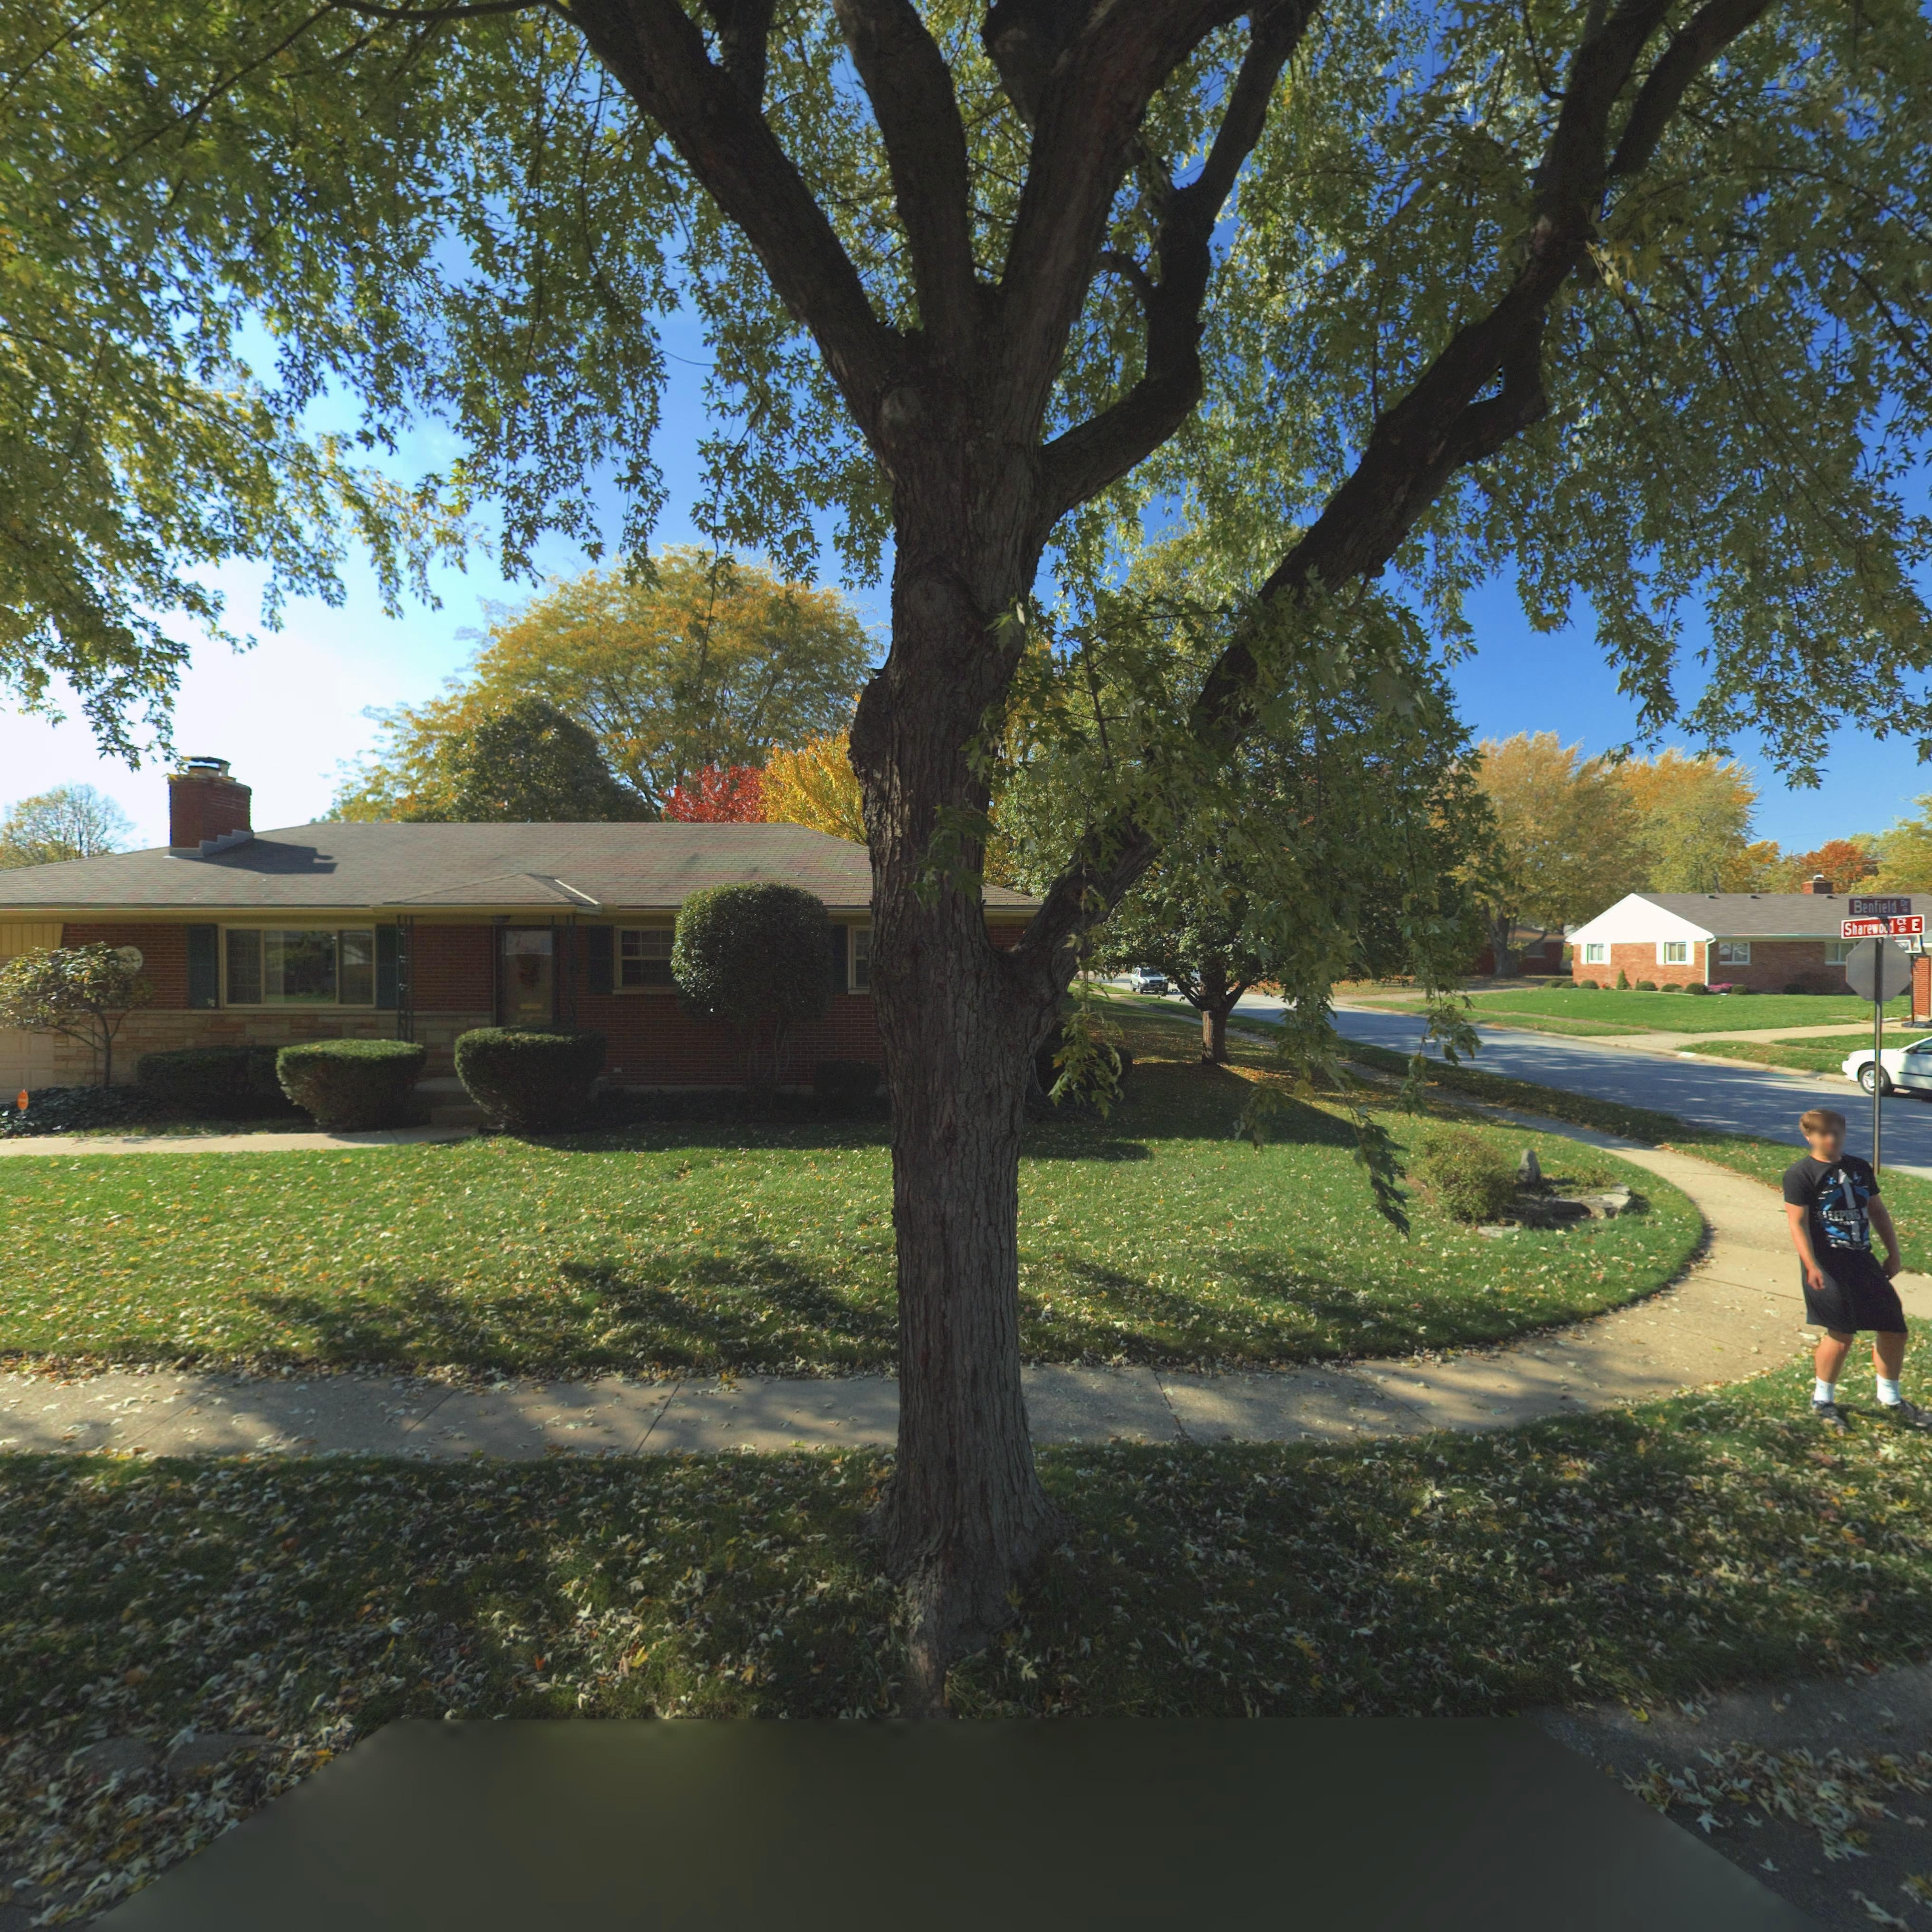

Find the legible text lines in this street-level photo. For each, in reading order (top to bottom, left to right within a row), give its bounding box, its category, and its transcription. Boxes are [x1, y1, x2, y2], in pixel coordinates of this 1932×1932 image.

[1853, 898, 1910, 915] StreetName: Benfield Dr
[1844, 916, 1922, 937] StreetName: Sharewood Ct E